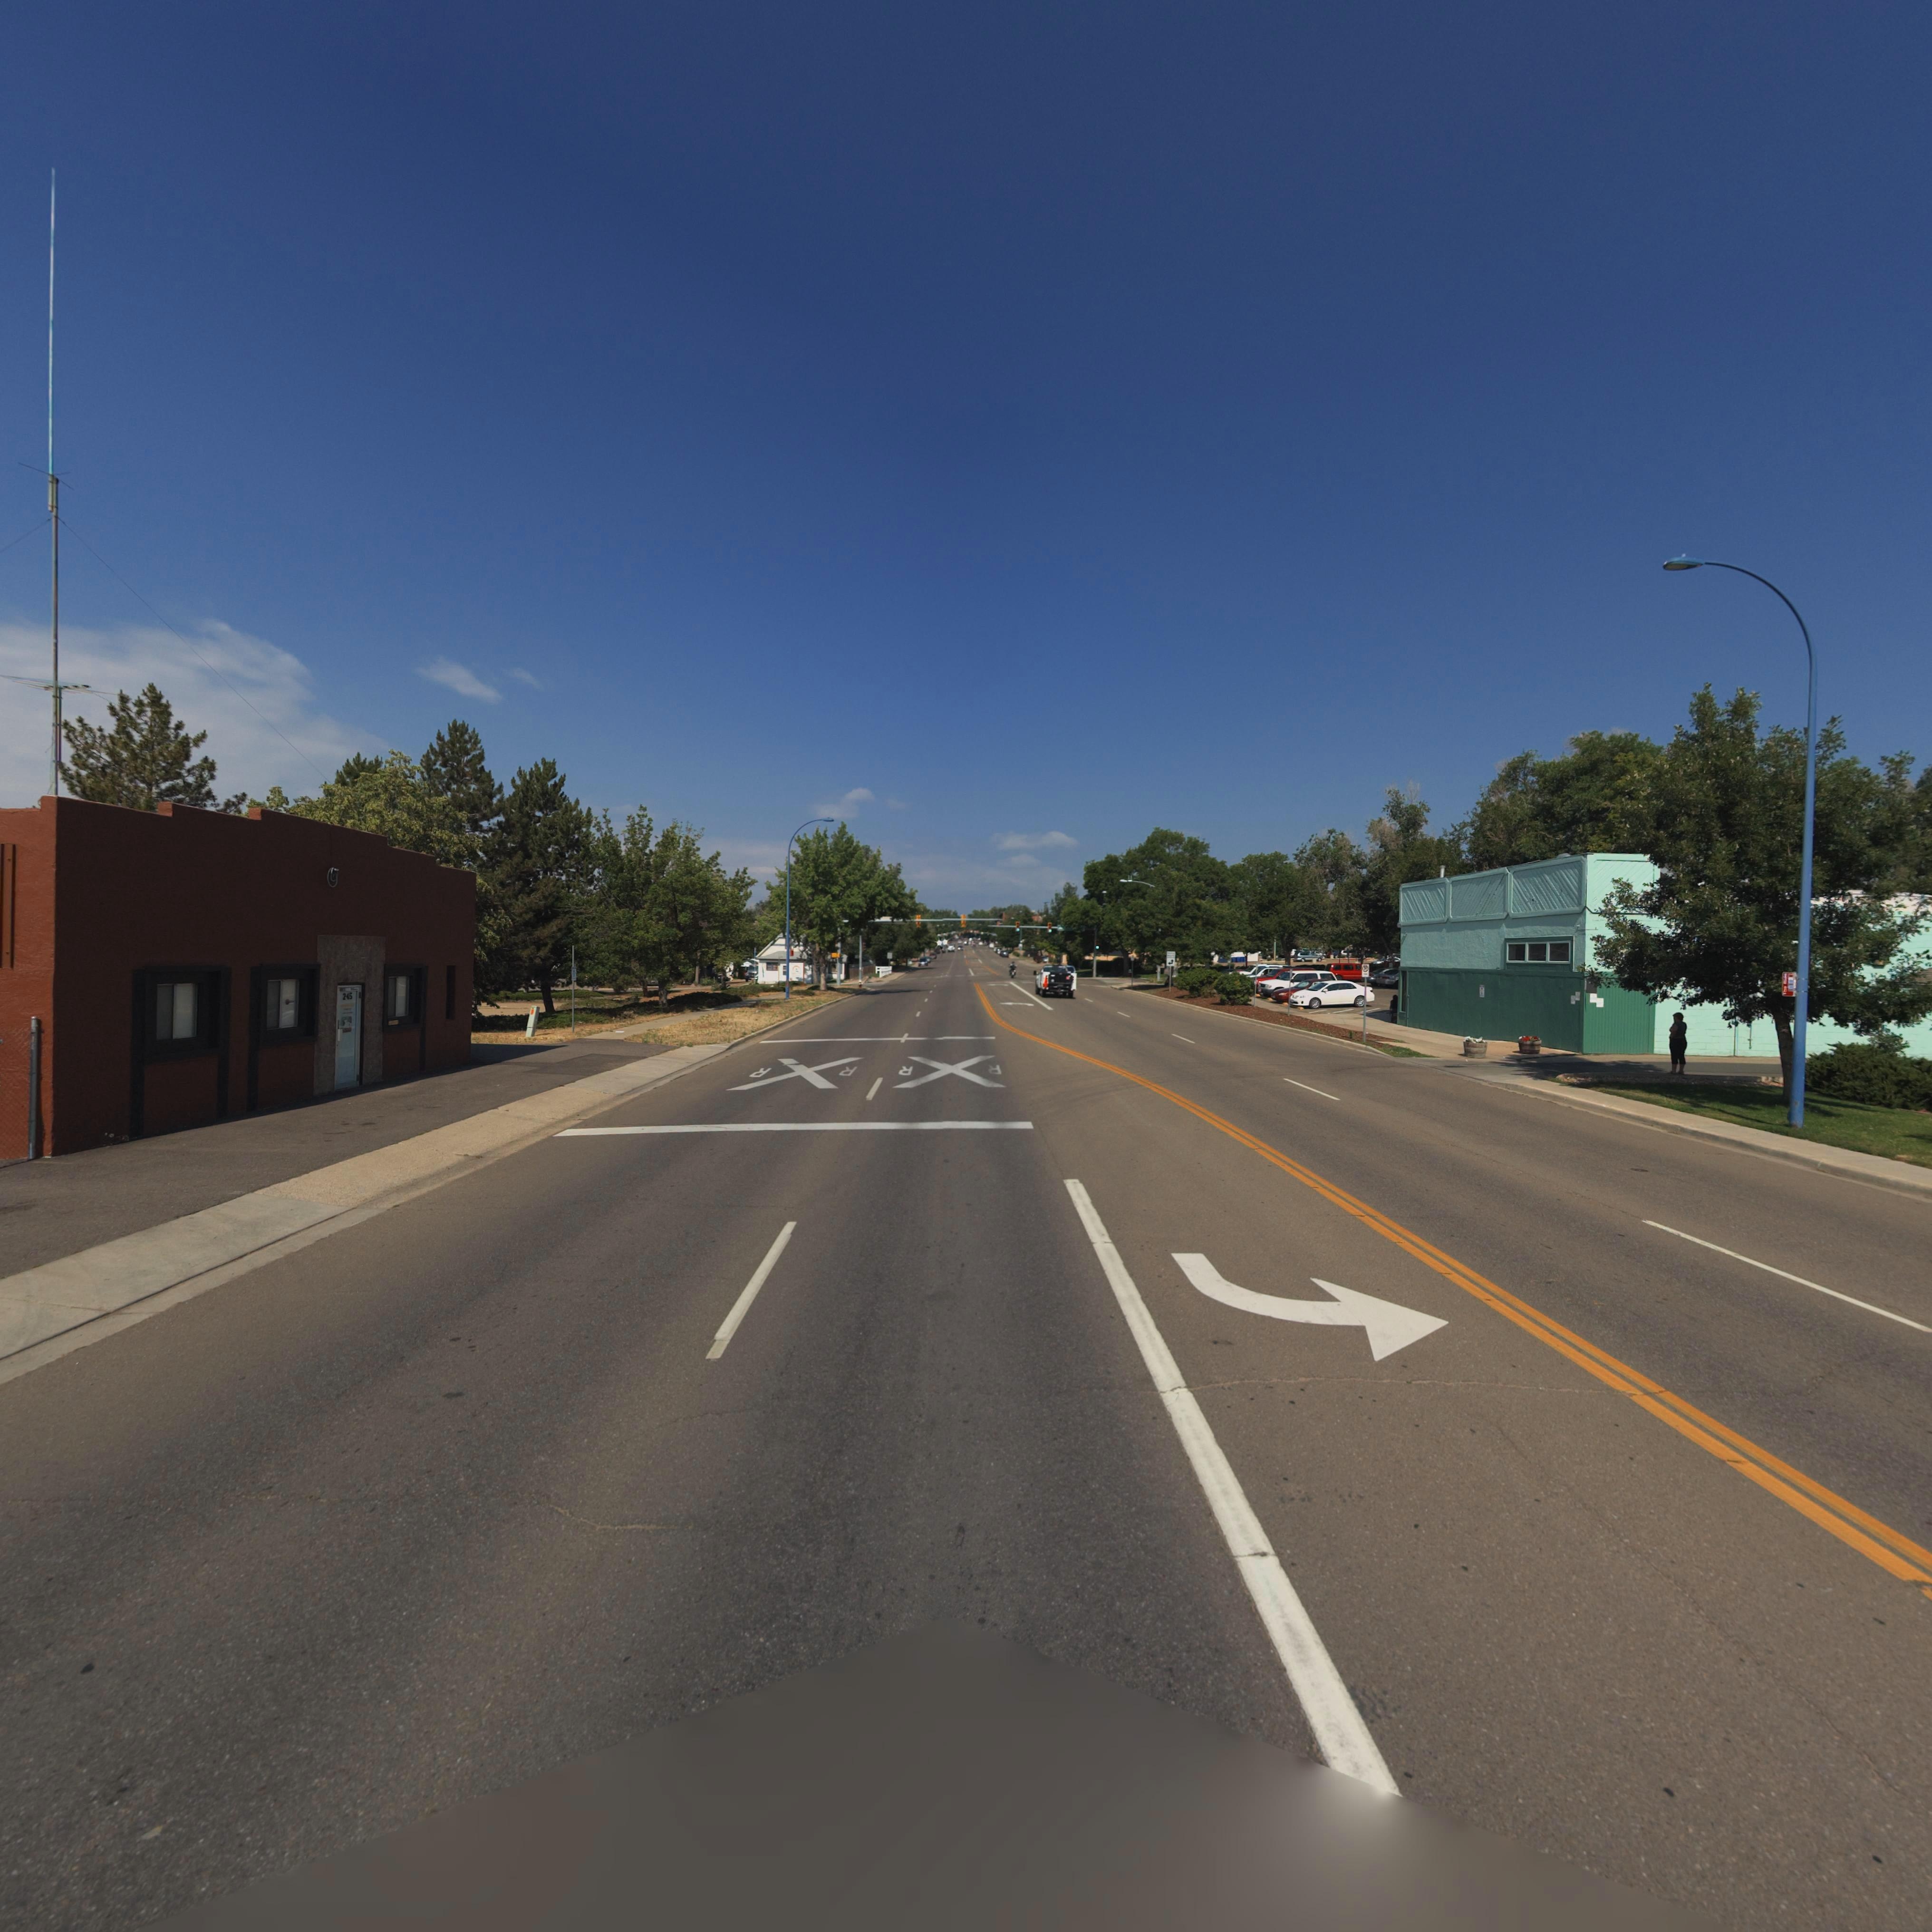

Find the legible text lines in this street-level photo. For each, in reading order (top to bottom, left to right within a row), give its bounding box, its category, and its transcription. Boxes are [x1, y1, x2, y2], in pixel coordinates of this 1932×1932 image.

[342, 992, 353, 1000] StreetNumber: 245